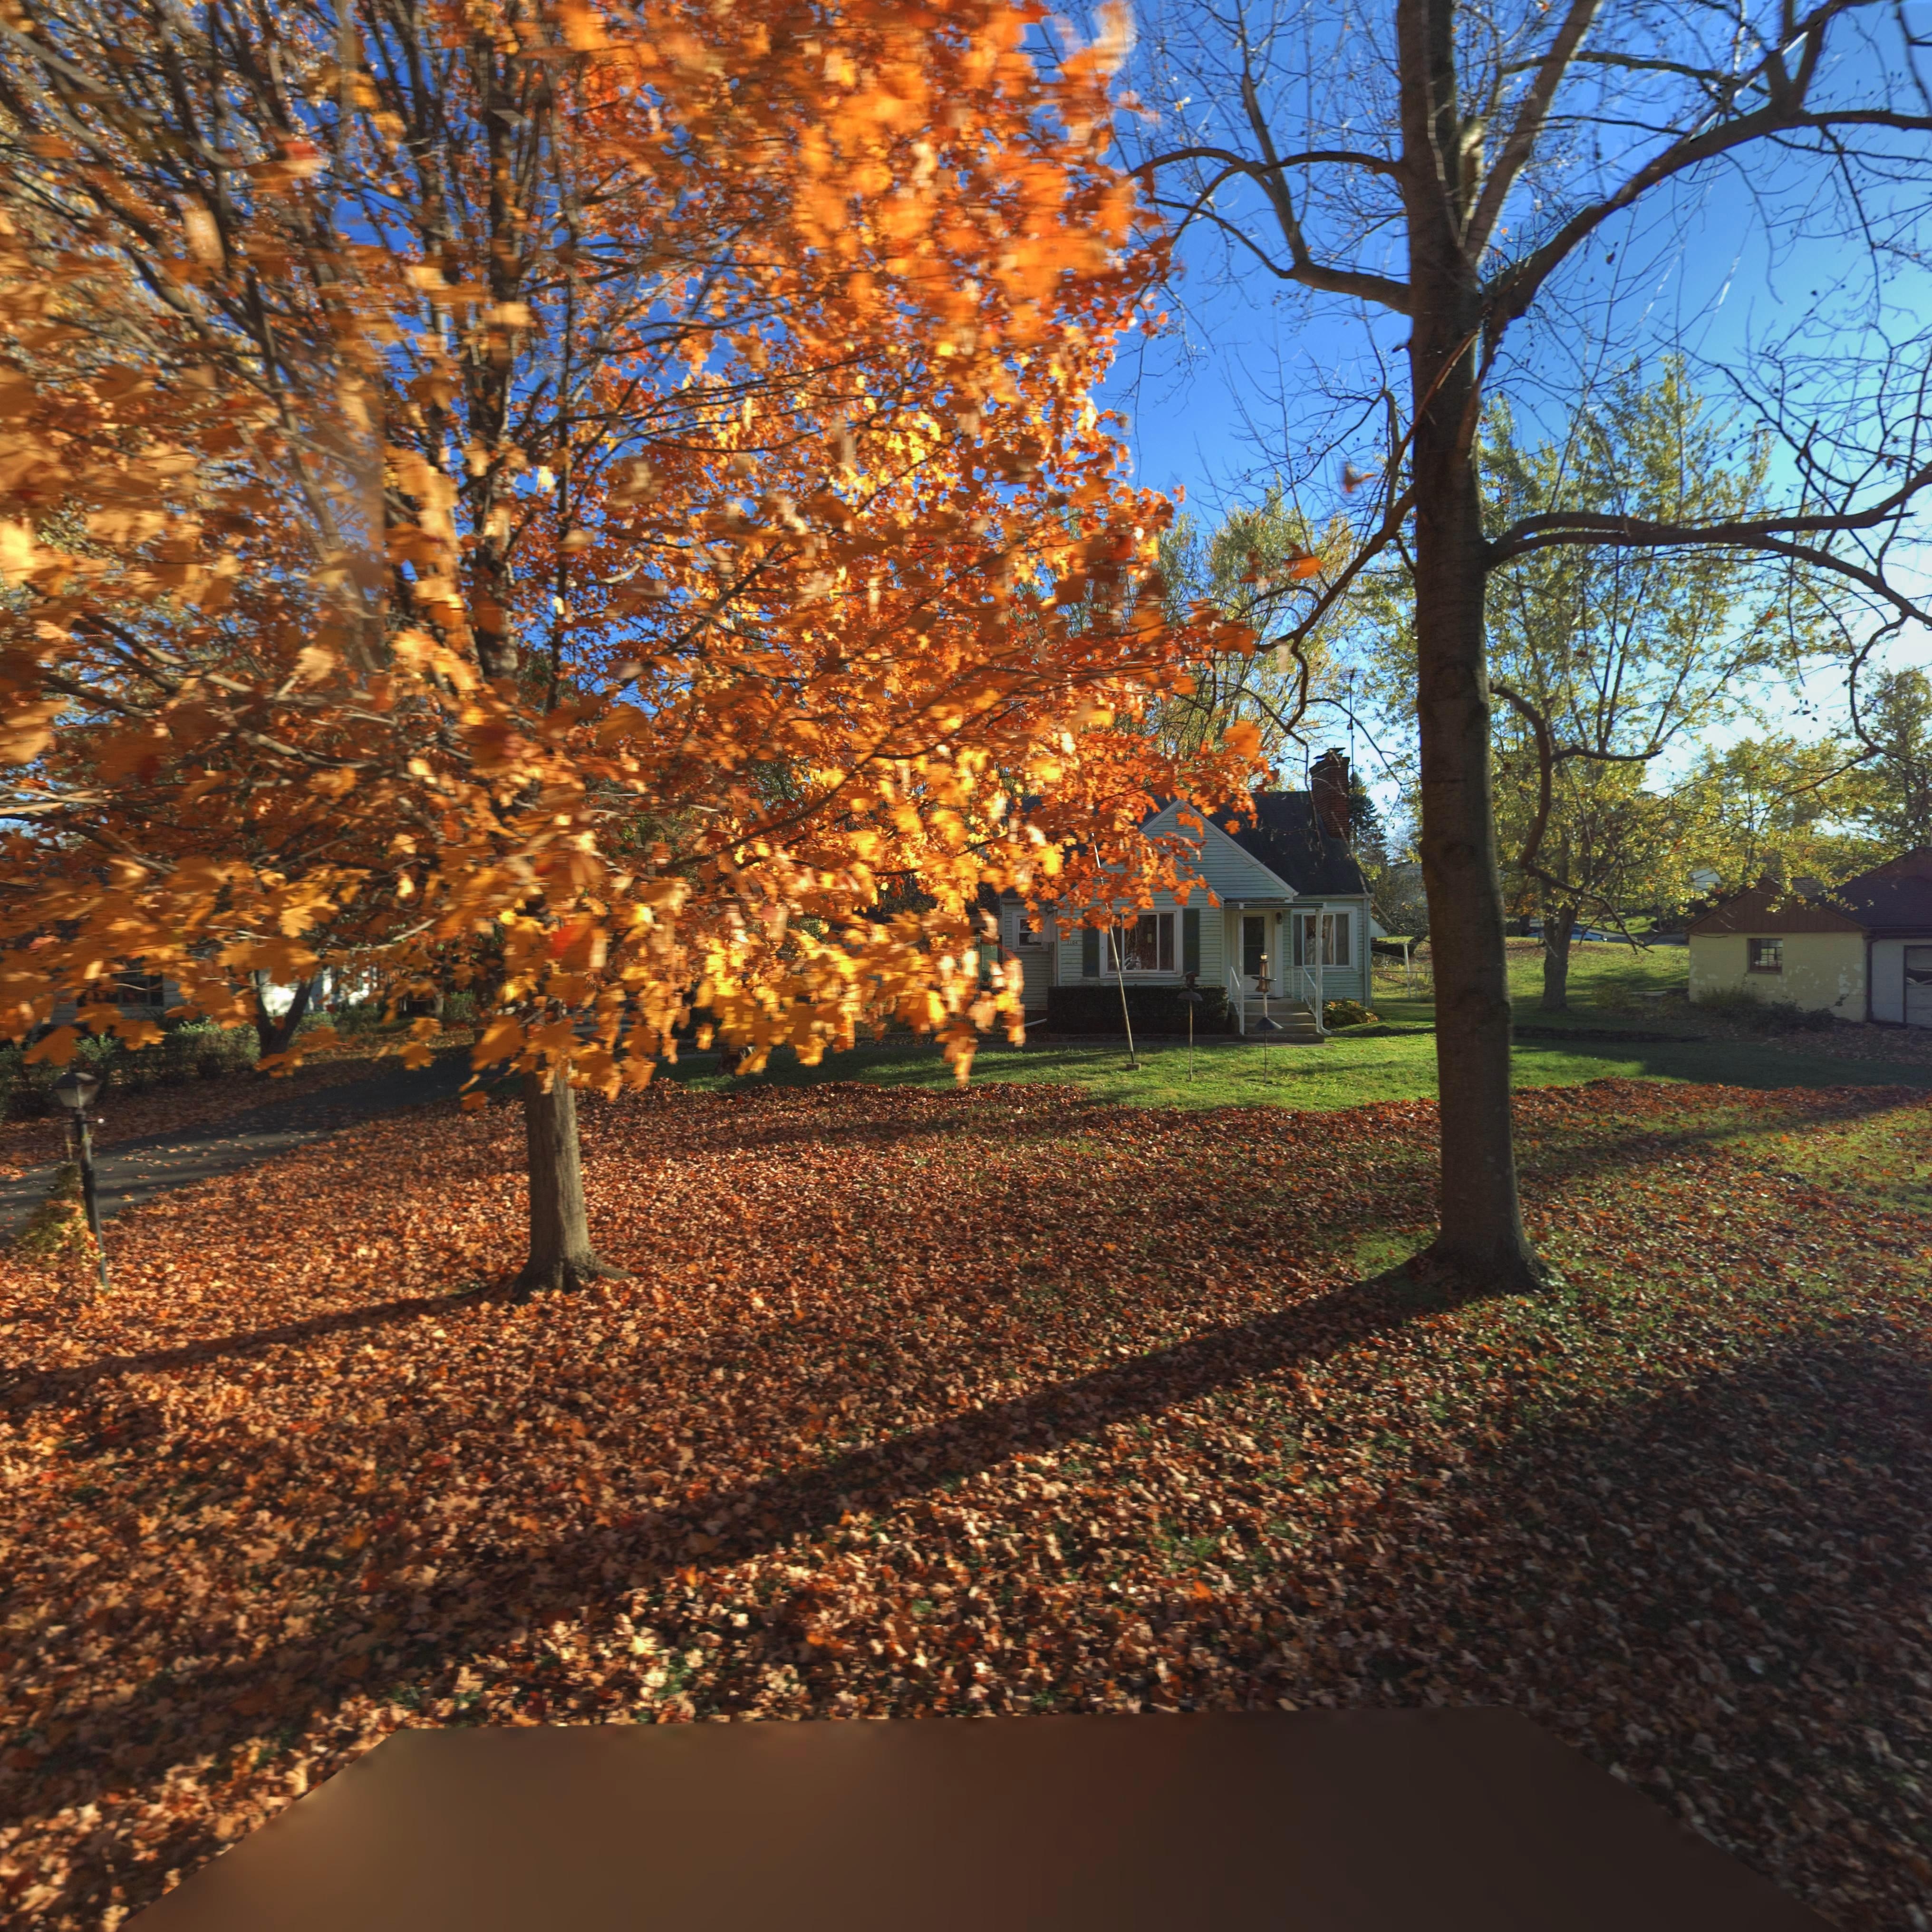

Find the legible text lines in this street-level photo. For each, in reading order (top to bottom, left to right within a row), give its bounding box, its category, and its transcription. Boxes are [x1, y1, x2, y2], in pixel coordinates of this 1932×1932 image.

[1066, 940, 1078, 946] StreetNumber: *104